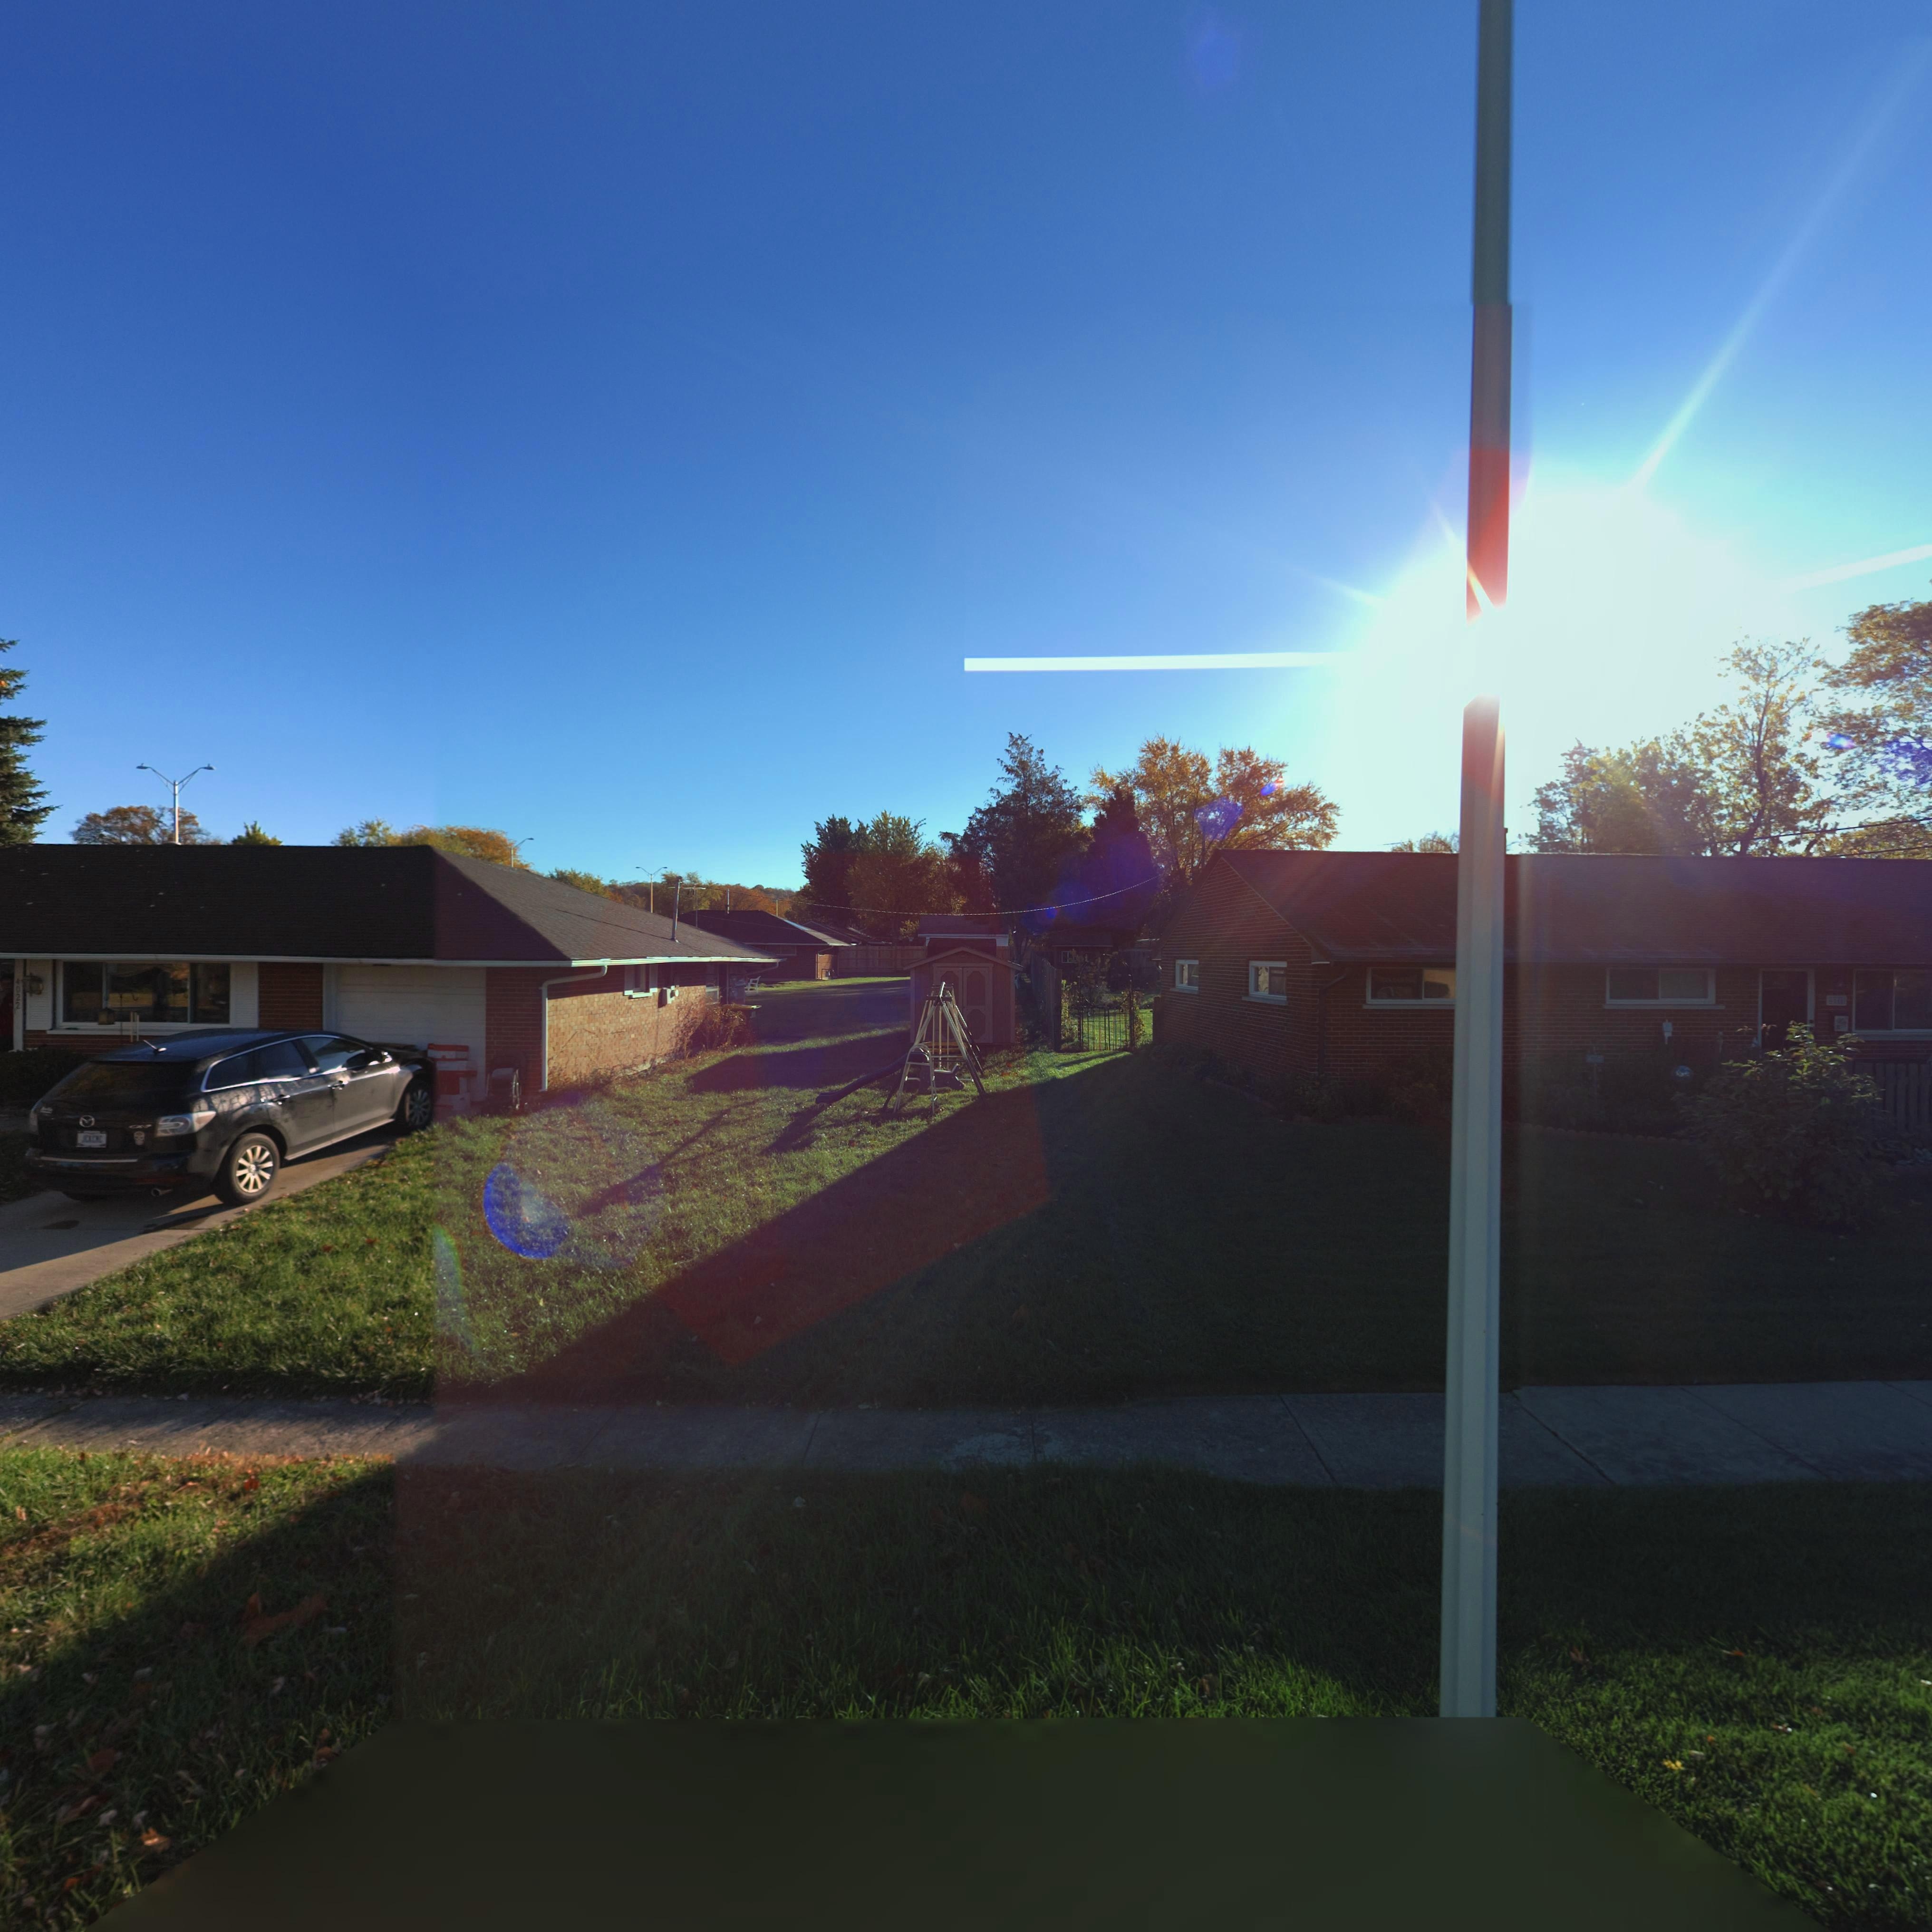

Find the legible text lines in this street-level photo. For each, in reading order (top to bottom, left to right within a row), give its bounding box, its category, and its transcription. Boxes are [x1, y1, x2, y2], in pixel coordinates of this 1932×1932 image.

[13, 976, 21, 1009] StreetNumber: 4022\